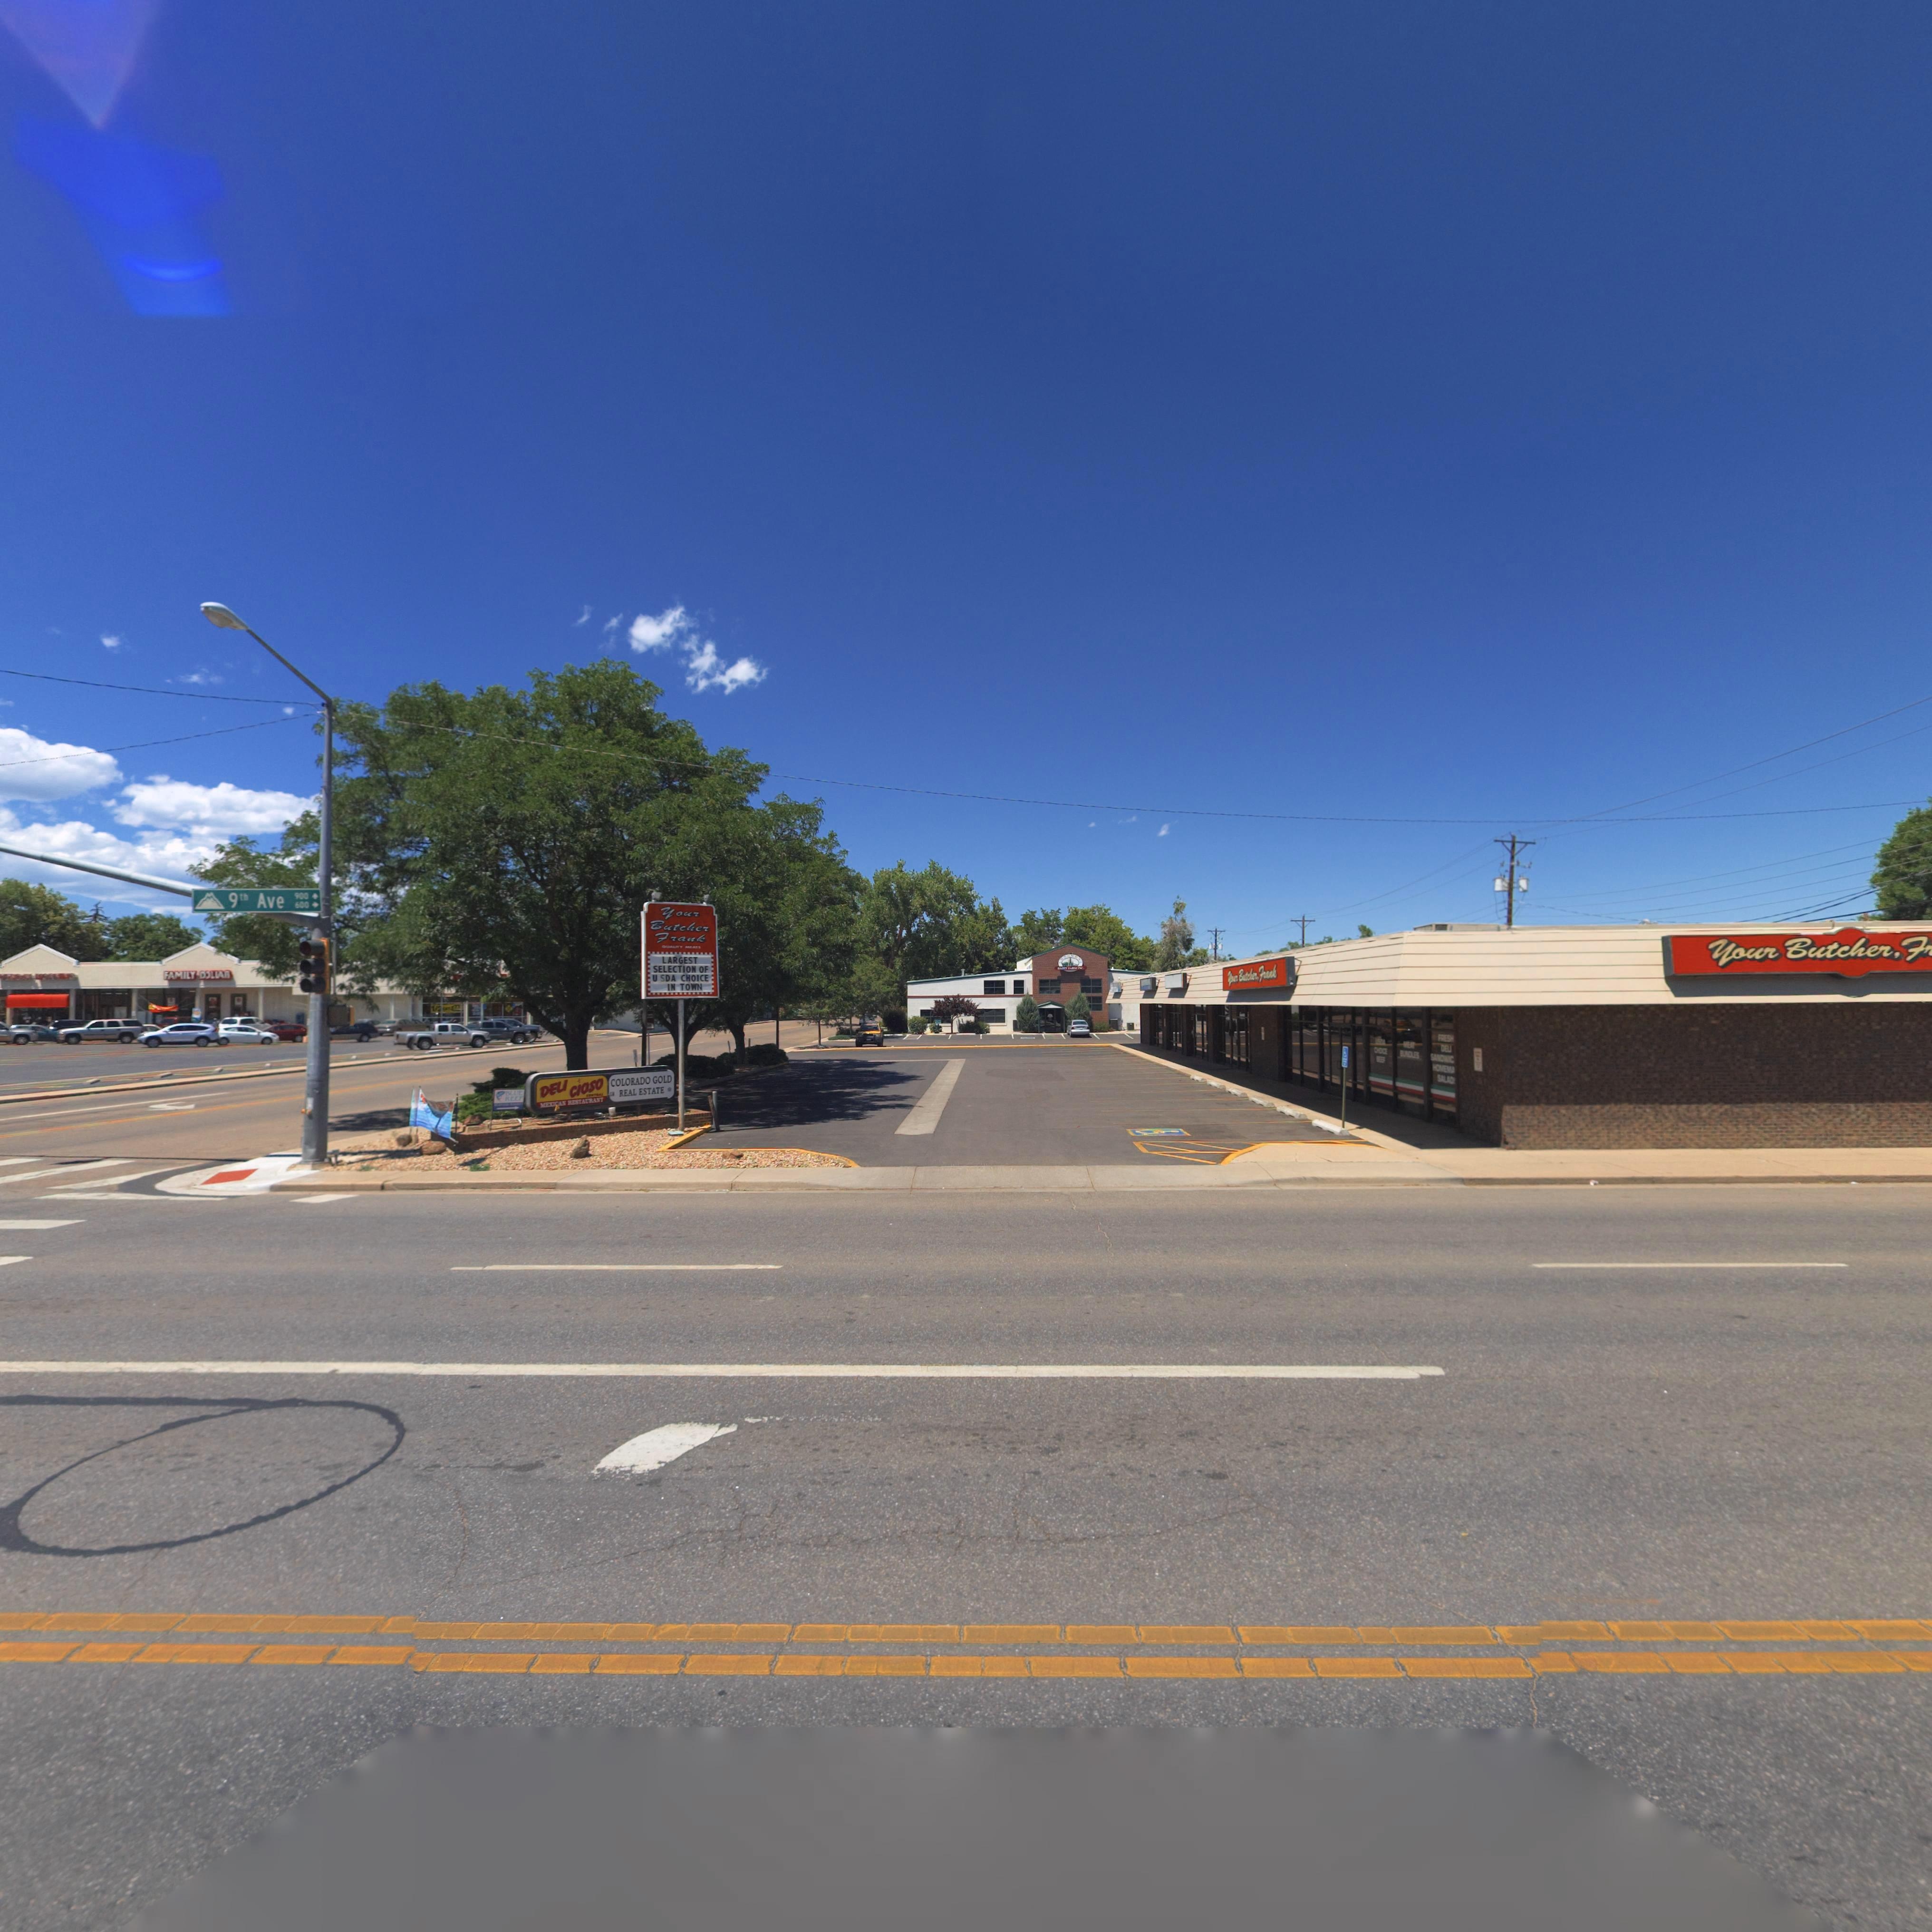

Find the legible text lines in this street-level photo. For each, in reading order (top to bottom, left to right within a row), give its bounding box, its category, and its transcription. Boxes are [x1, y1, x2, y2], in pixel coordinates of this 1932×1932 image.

[227, 892, 285, 909] StreetName: 9th Ave
[293, 891, 309, 900] StreetNumberRange: 900
[294, 901, 320, 909] StreetNumberRange: 600->
[659, 906, 700, 921] BusinessName: Your
[649, 919, 709, 932] BusinessName: Butcher
[654, 931, 706, 944] BusinessName: Frank
[1705, 935, 1929, 968] BusinessName: Your Butcher, F
[164, 970, 231, 980] BusinessName: FAMILY D*LLAR
[1057, 966, 1085, 970] BusinessName: ****T ***M INC.
[1227, 962, 1277, 987] BusinessName: Y**r B**ch**, Frank
[610, 1074, 672, 1087] BusinessName: COLORADO GOLD
[505, 1096, 523, 1101] BusinessName: REEF
[505, 1090, 523, 1096] BusinessName: BLUE
[540, 1078, 569, 1100] BusinessName: DELI
[568, 1077, 604, 1098] BusinessName: CIOSO
[618, 1086, 664, 1097] BusinessName: REAL ESTATE